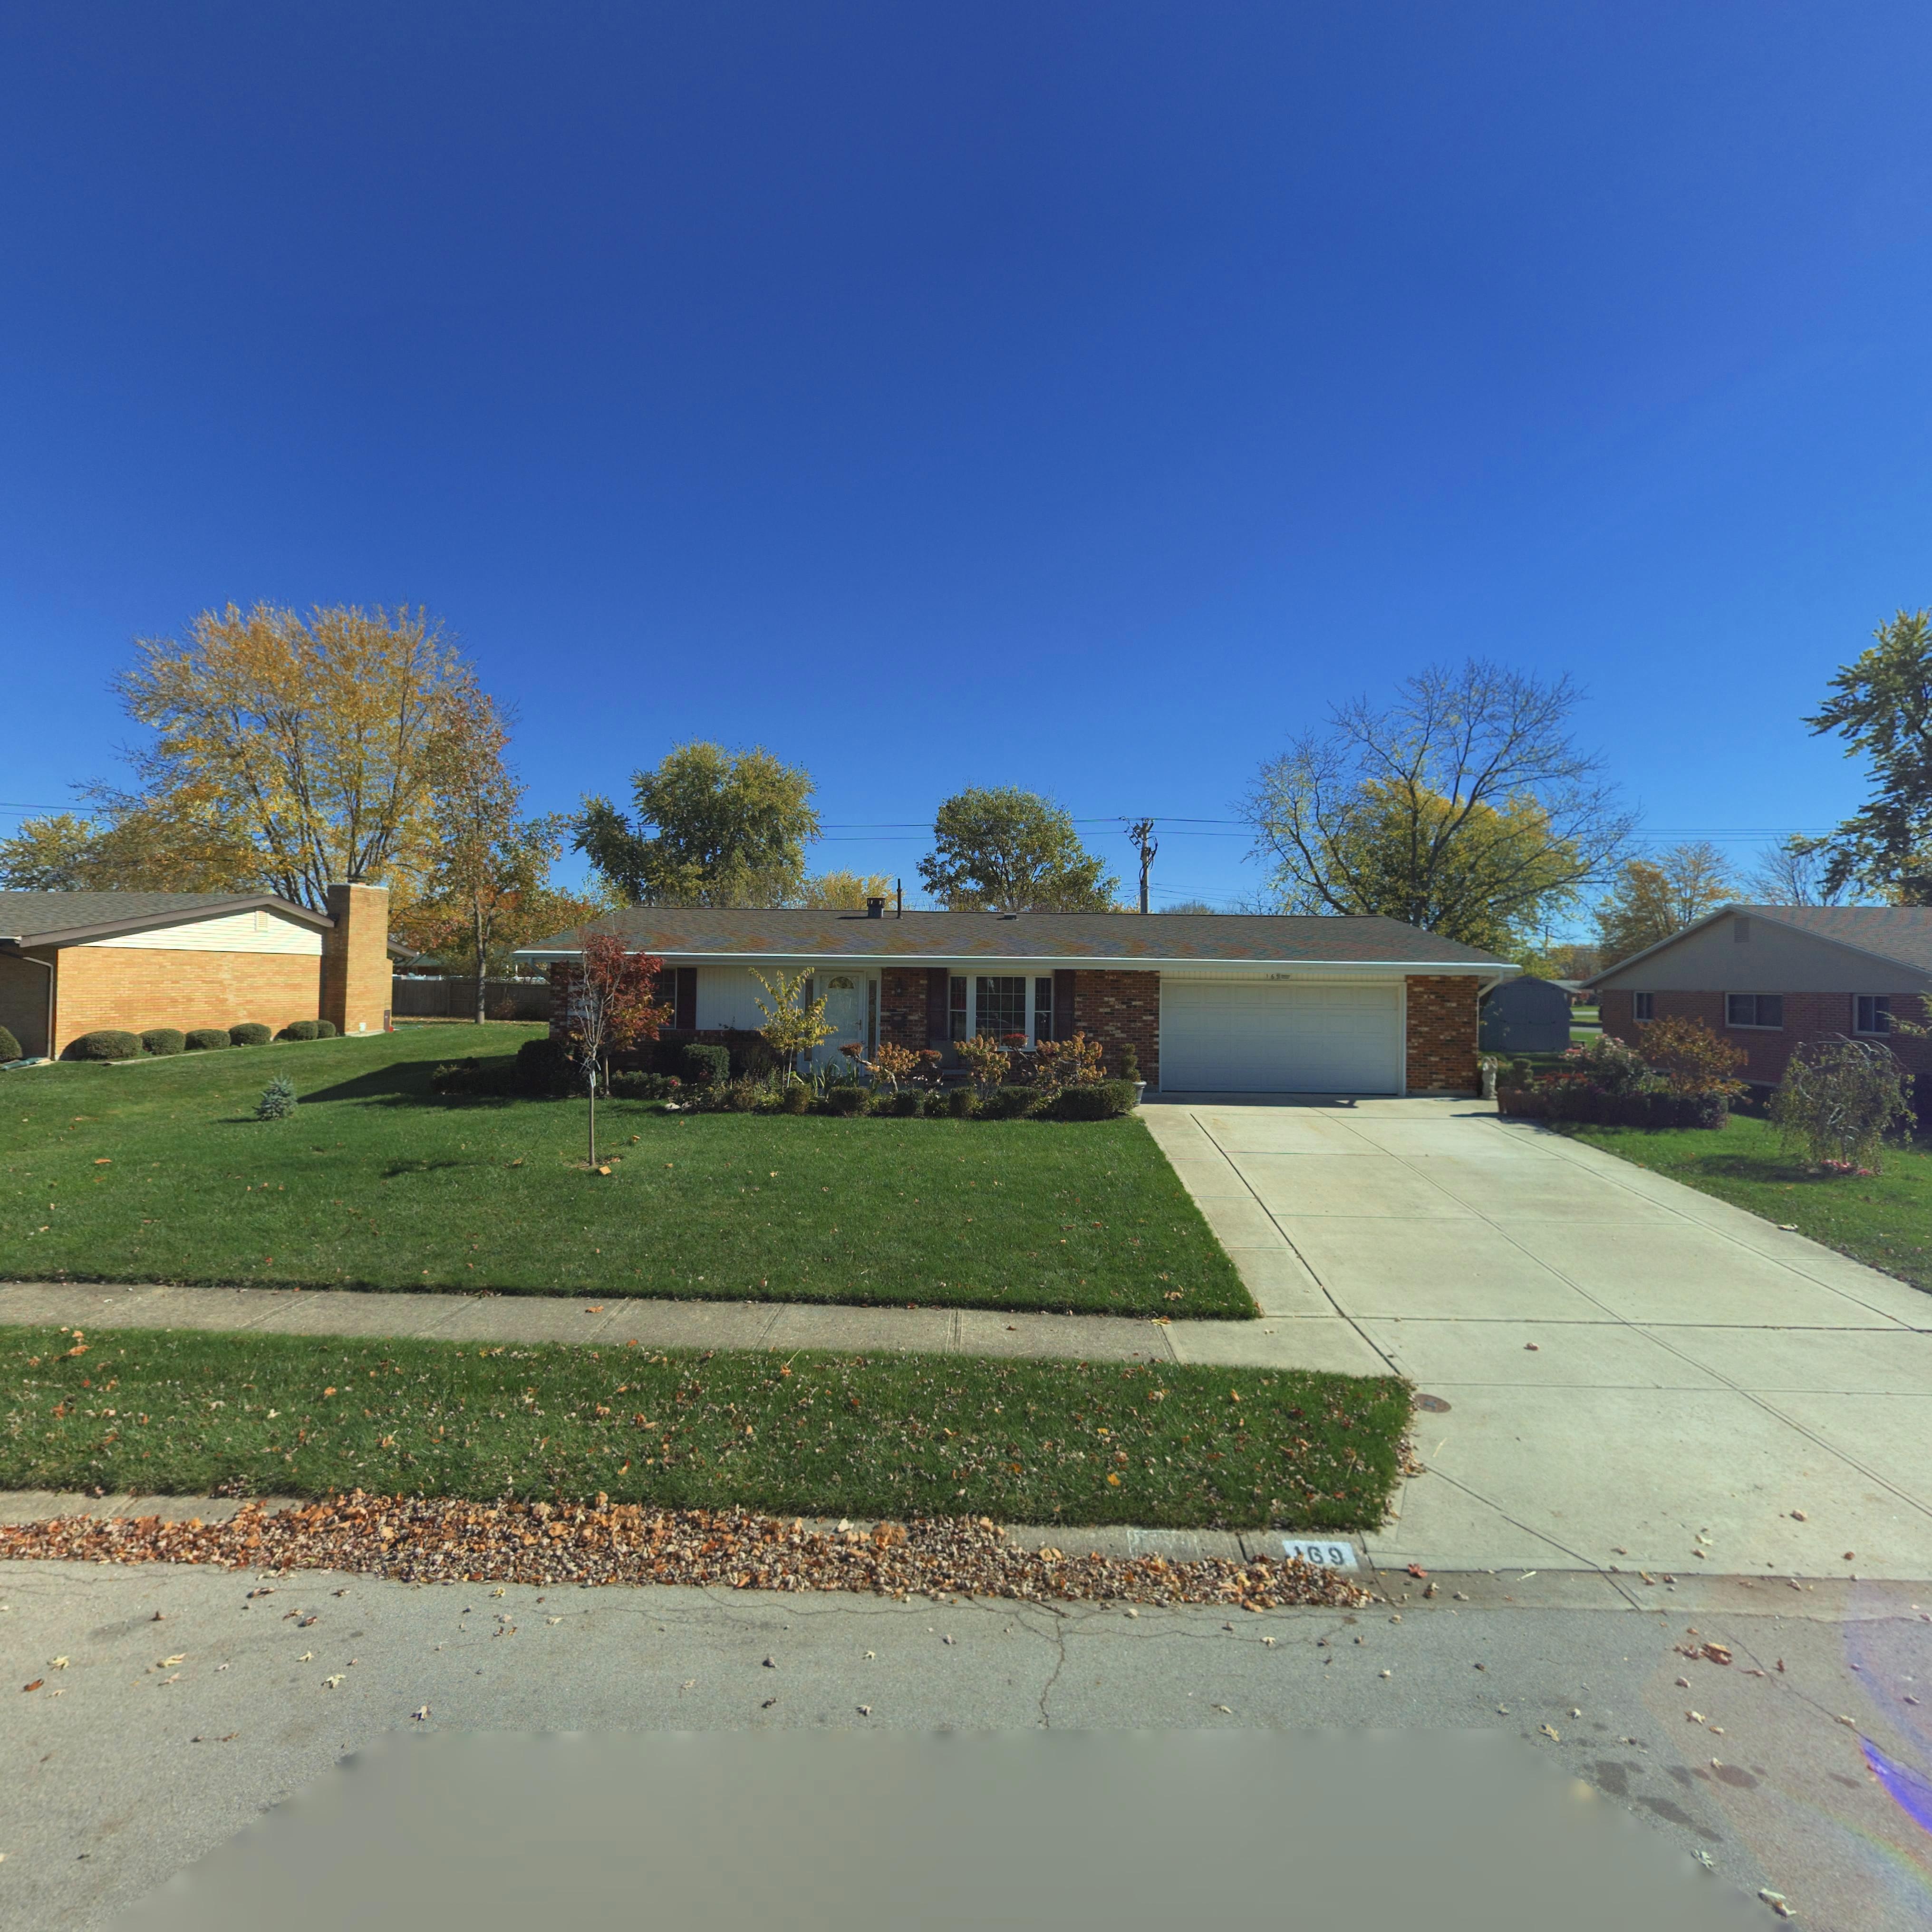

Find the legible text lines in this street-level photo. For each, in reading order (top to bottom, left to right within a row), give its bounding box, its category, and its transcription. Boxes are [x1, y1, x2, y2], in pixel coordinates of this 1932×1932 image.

[1270, 973, 1275, 980] StreetNumber: 6
[1306, 1545, 1347, 1567] StreetNumber: 69